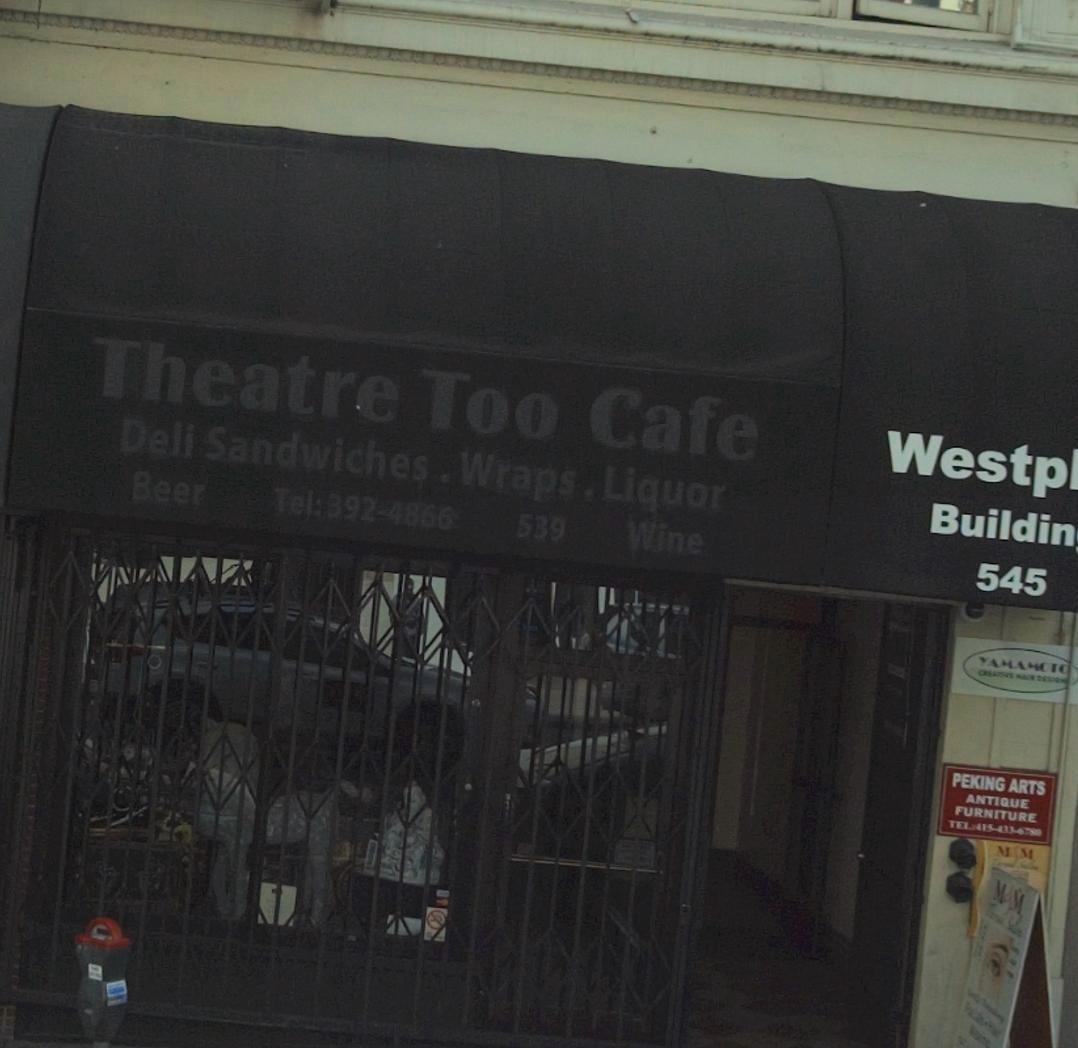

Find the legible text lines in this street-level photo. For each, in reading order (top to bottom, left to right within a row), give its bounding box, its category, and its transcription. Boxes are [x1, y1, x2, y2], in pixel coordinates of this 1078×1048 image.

[88, 325, 769, 471] BusinessName: Theatre Too Cafe
[114, 408, 736, 520] None: Deli Sandwiches . Wraps . Liqour
[880, 420, 1074, 505] None: Westp
[124, 465, 212, 513] None: Beer
[268, 482, 459, 535] None: Tel: 392-4866
[510, 508, 570, 546] None: 539
[622, 514, 711, 560] None: Wine
[922, 496, 1077, 552] None: Buildin
[971, 559, 1054, 601] StreetNumber: 545
[976, 652, 1071, 679] None: YA*A*CTC
[944, 817, 1044, 840] None: TEL.: 415-433 -67*0
[961, 788, 1033, 813] None: ANTIQUE
[952, 802, 1042, 827] None: FURNITURE
[946, 767, 1050, 801] BusinessName: PEKING ARTS